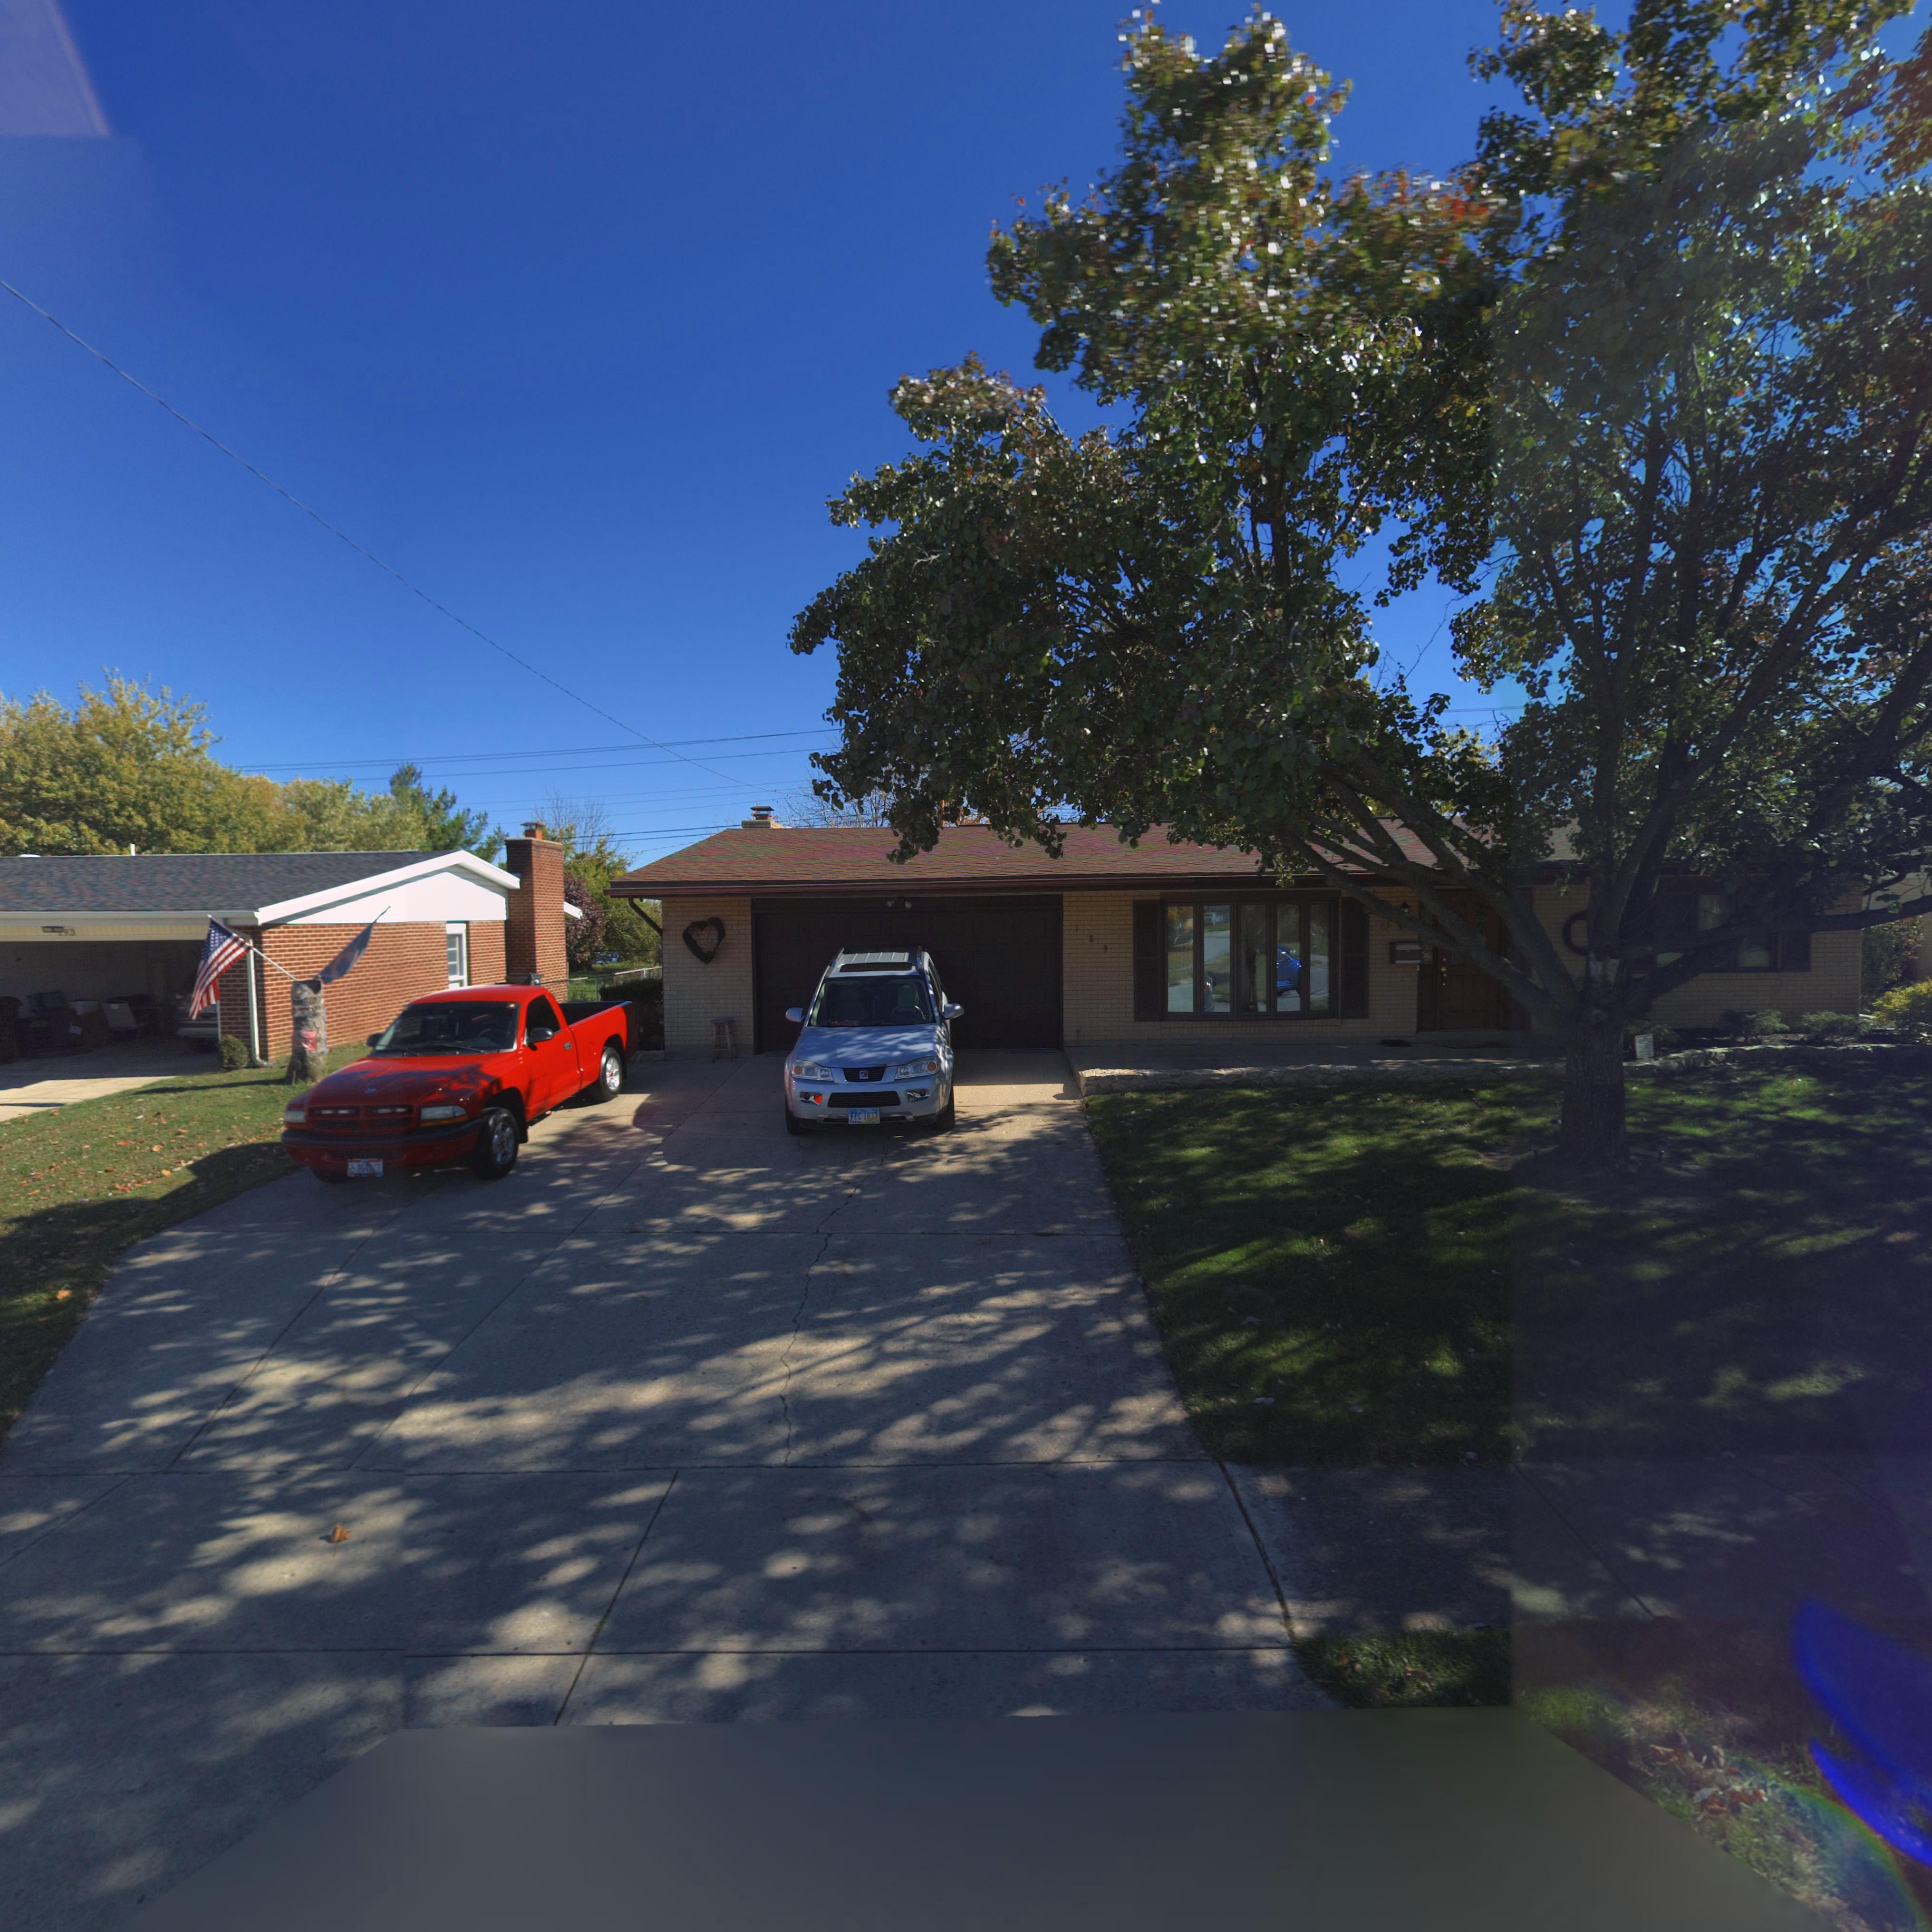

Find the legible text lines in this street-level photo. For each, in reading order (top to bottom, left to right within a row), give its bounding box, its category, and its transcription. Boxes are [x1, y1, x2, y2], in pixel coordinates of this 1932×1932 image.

[62, 927, 77, 937] StreetNumber: 93
[1075, 923, 1109, 954] StreetNumber: 189